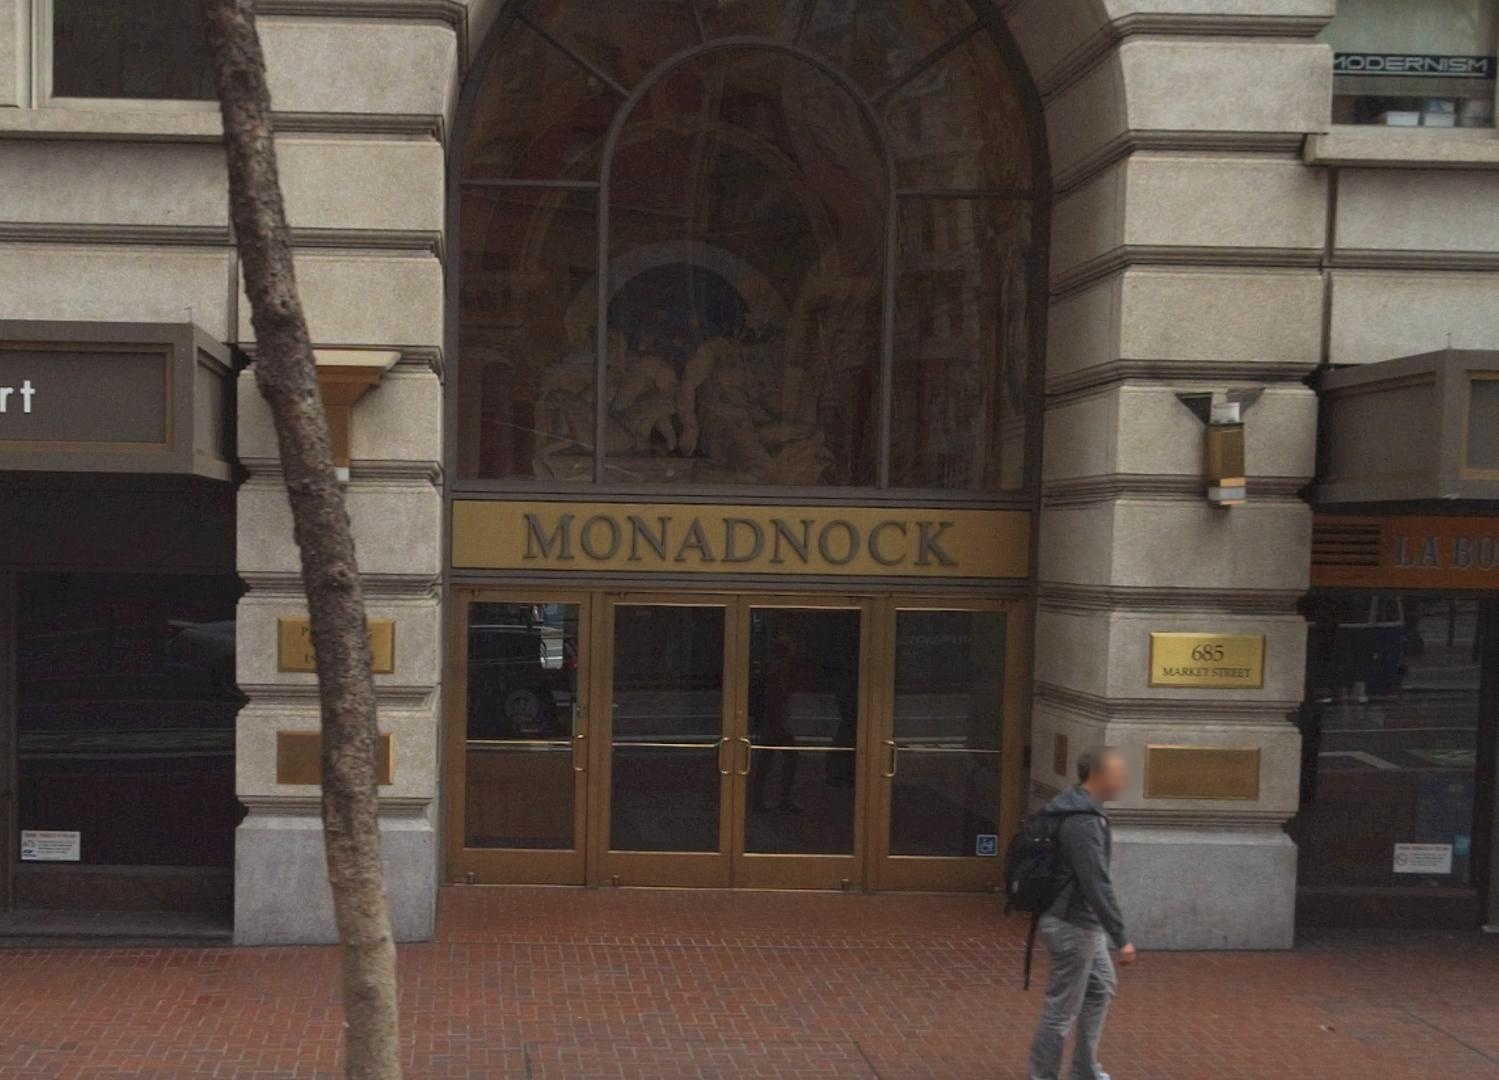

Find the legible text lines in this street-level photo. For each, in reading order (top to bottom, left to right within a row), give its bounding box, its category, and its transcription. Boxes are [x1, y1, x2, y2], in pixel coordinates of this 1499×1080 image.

[1343, 52, 1490, 75] None: ODERNISM
[0, 377, 40, 417] BusinessName: rt
[516, 506, 962, 572] BusinessName: MONADNOCK
[1390, 531, 1498, 573] BusinessName: LA BO
[298, 624, 312, 639] None: P
[302, 652, 314, 666] None: L
[1186, 640, 1231, 664] StreetNumber: 685
[1160, 665, 1256, 681] StreetName: MARKET STREET